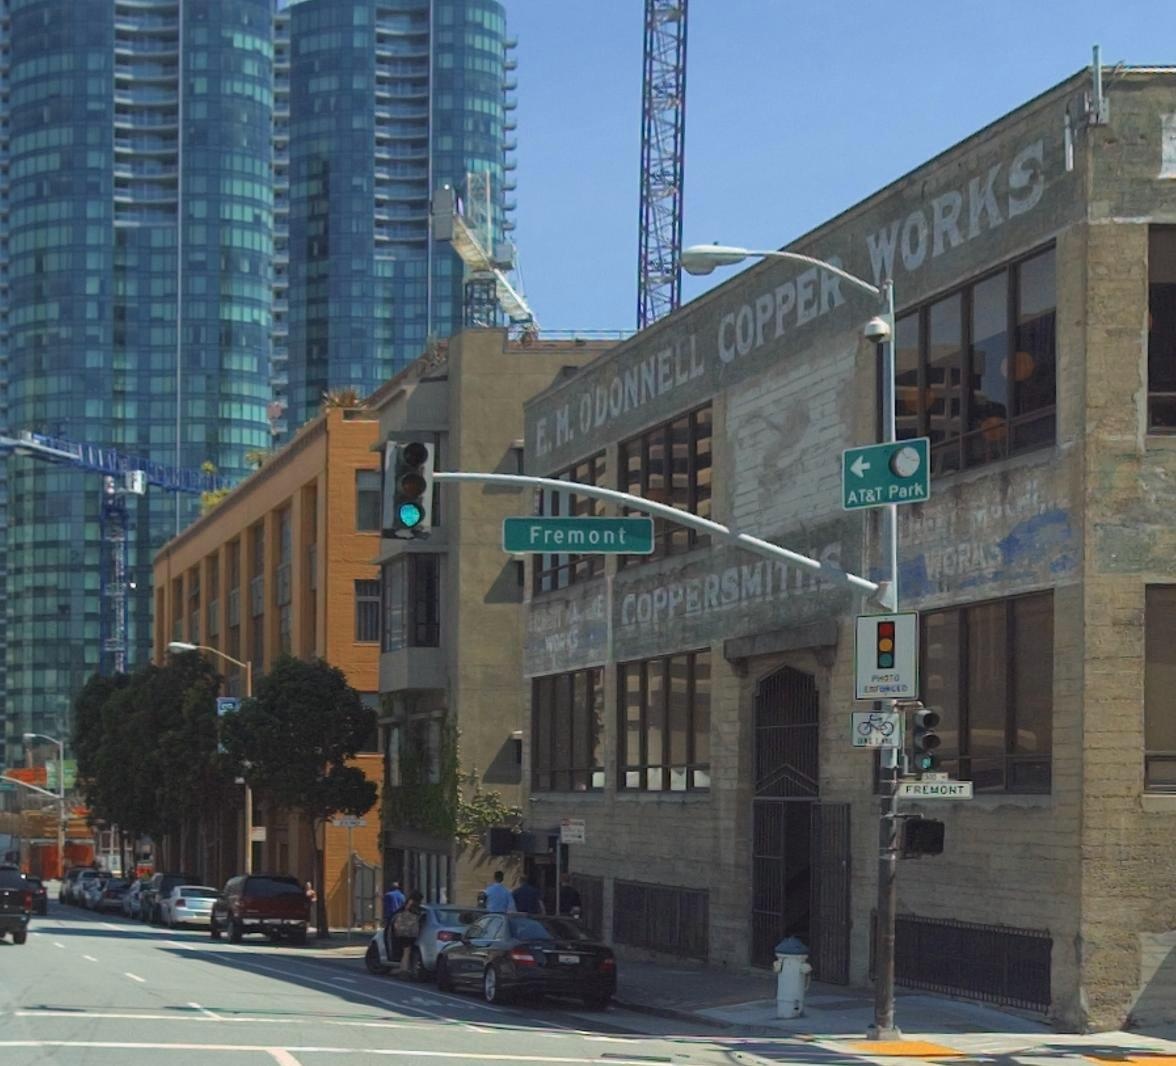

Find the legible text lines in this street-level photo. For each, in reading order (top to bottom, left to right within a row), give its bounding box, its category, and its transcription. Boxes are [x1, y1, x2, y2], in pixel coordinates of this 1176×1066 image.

[532, 133, 1055, 462] BusinessName: E.M. ODONNELL COPPER WORKS
[845, 480, 925, 506] None: AT&T Park
[528, 524, 630, 546] StreetName: Fremont
[917, 531, 1008, 583] None: WOR*S
[619, 535, 844, 633] None: COPPERSMITHS
[869, 673, 904, 683] None: PHOTO
[904, 784, 965, 795] StreetName: FREMONT
[923, 773, 947, 780] StreetNumberRange: 300->